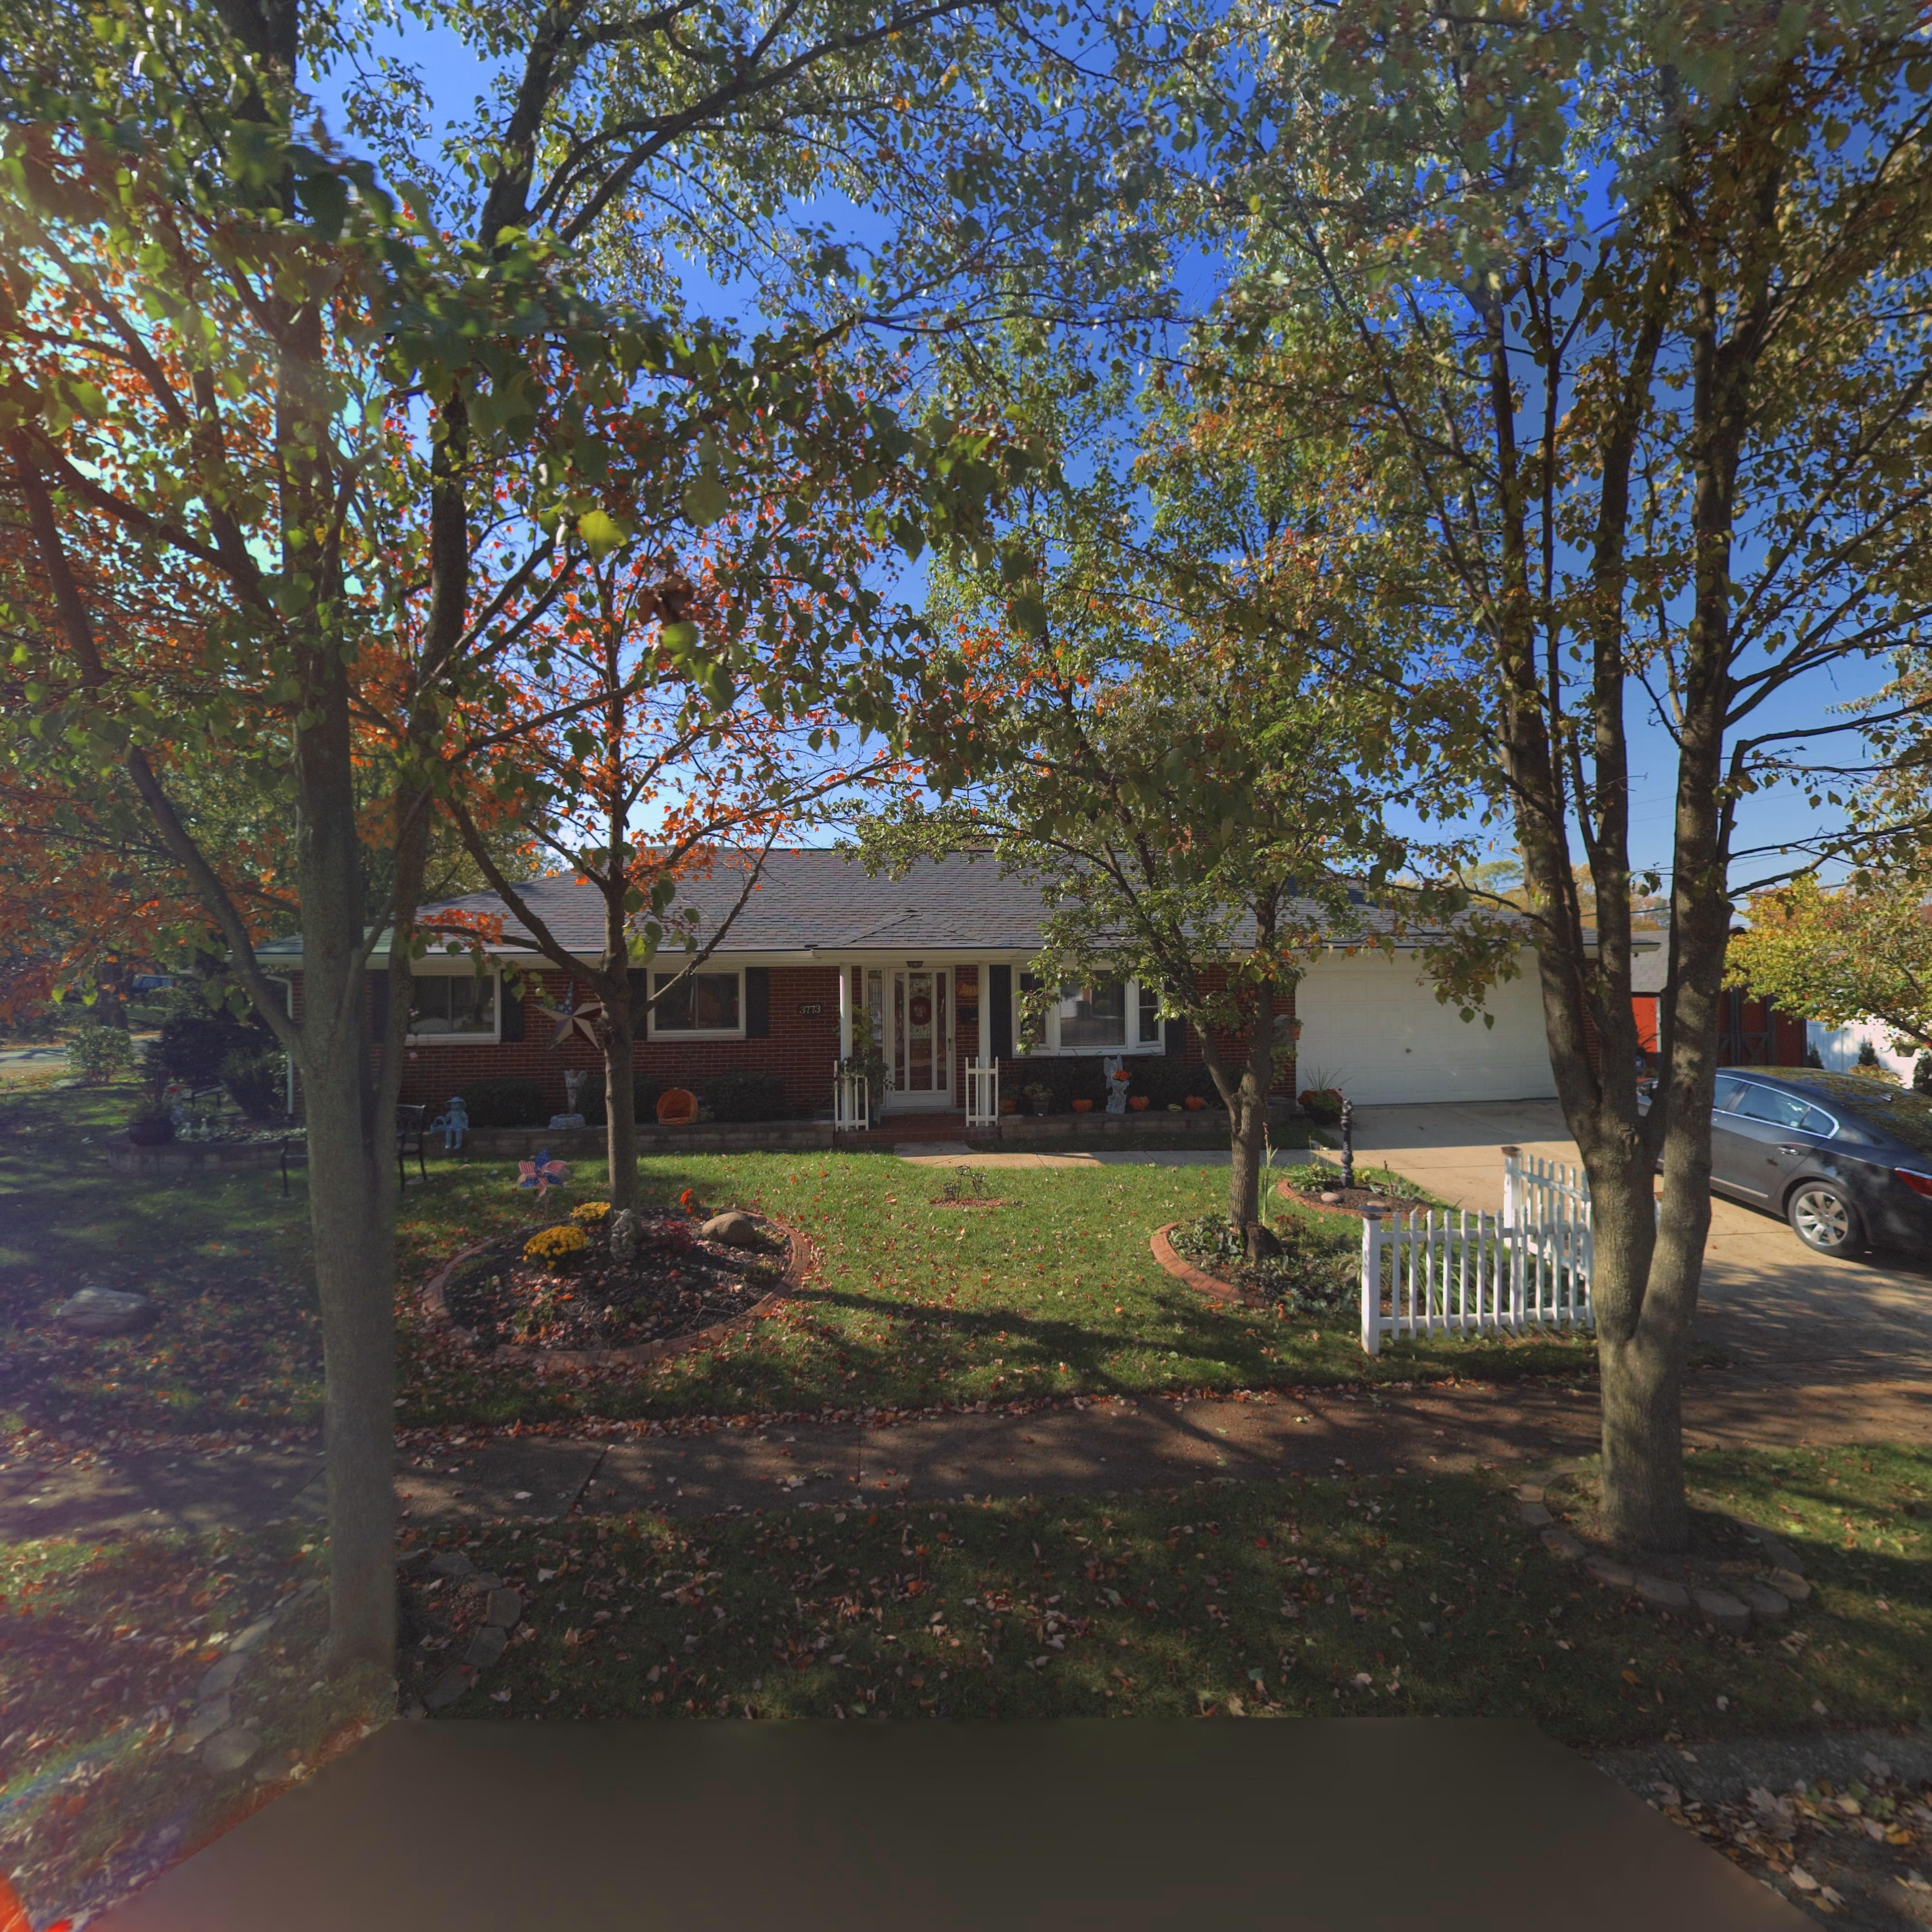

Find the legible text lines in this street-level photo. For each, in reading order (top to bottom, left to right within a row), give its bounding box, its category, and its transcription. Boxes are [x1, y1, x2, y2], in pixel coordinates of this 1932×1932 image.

[799, 1005, 821, 1014] StreetNumber: 3773